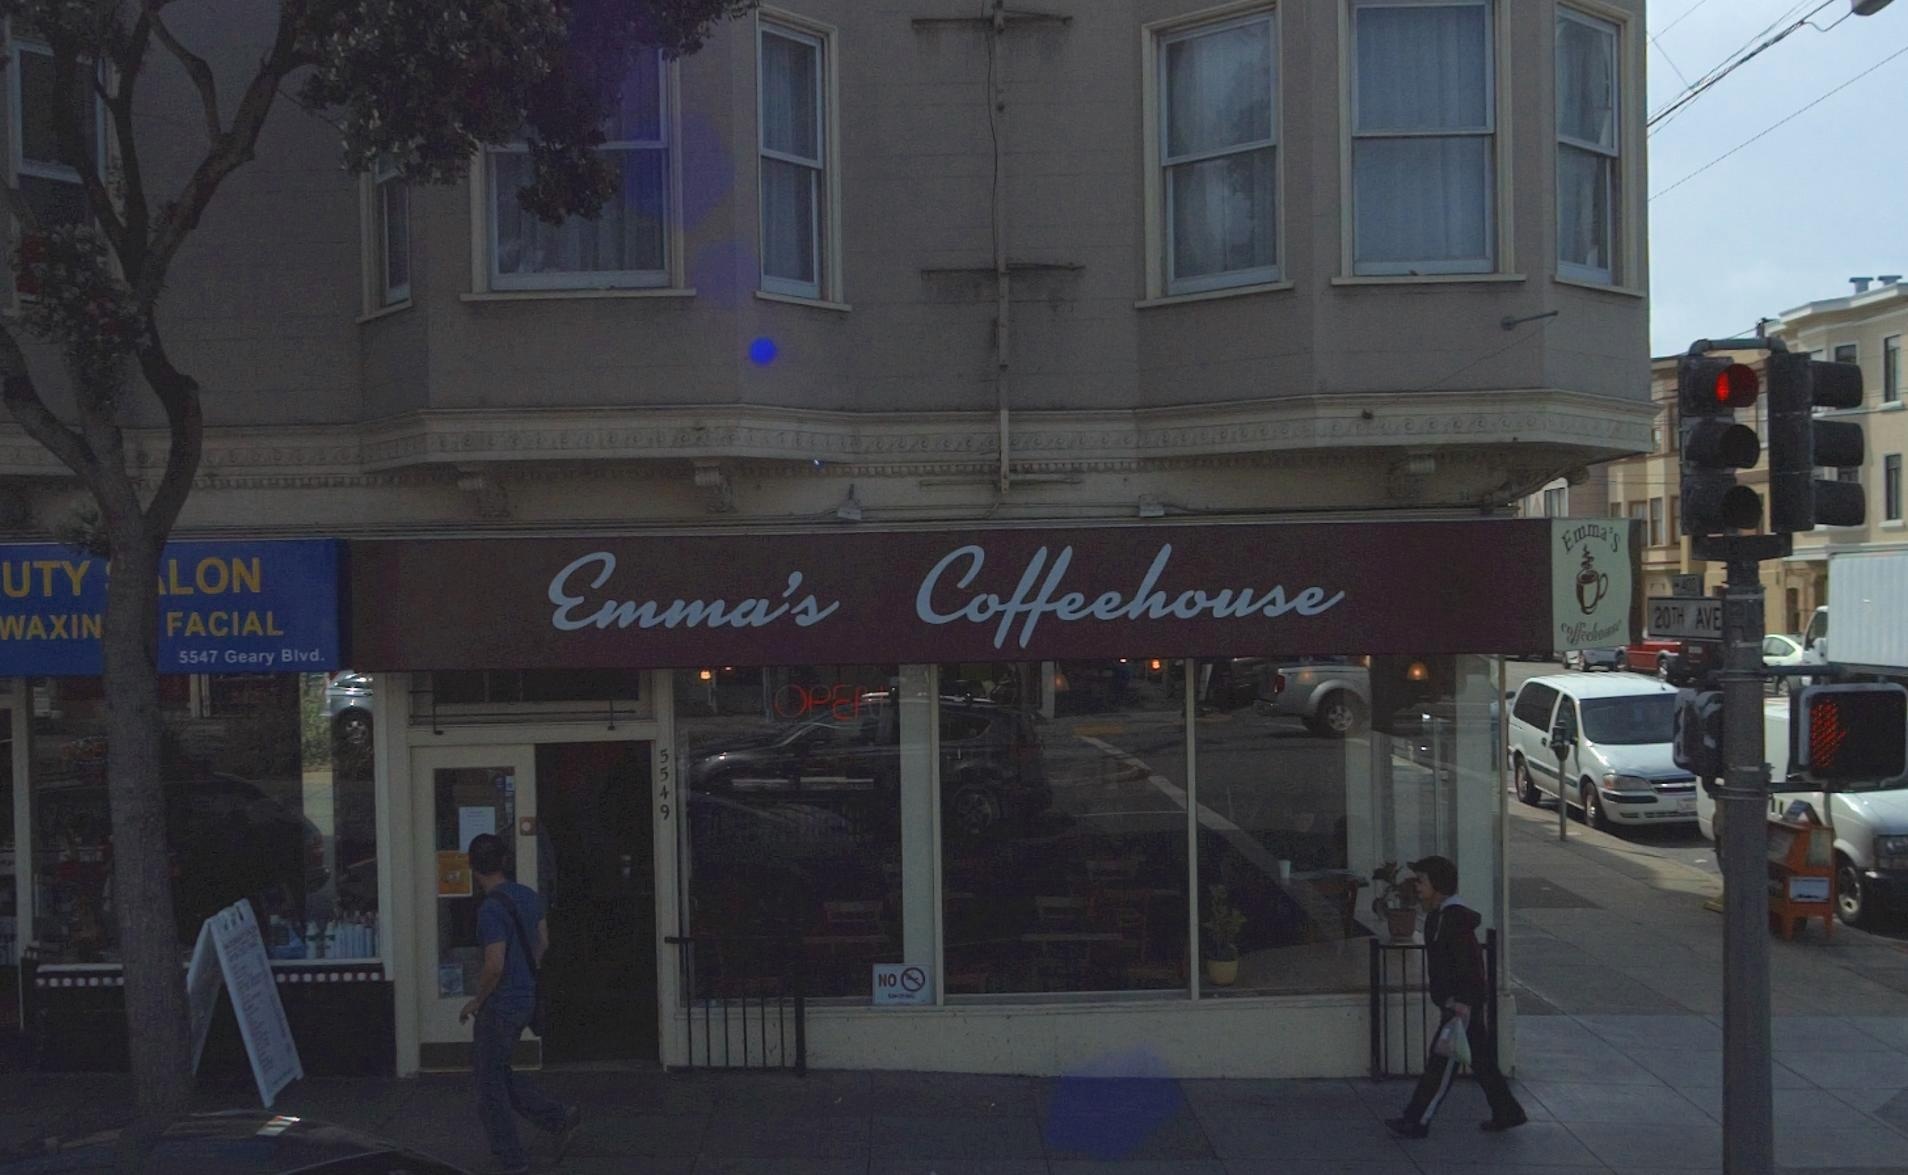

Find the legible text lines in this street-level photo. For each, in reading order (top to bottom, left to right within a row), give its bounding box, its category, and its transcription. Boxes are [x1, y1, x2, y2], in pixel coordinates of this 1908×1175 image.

[1558, 520, 1623, 557] BusinessName: Emma's
[2, 554, 265, 601] None: UTY **LON
[546, 542, 1353, 652] BusinessName: Emma's Coffeehouse
[1678, 577, 1698, 596] StreetNumberRange: 4**
[23, 608, 287, 642] None: AXIN FACIAL
[1559, 619, 1623, 646] BusinessName: coffeehouse
[1653, 604, 1722, 632] StreetName: 20TH AVE
[177, 647, 221, 666] StreetNumber: 5547
[223, 645, 326, 669] StreetName: Geary Blvd
[772, 681, 887, 723] None: OPEN
[656, 744, 672, 822] None: 5549
[876, 970, 900, 991] None: NO